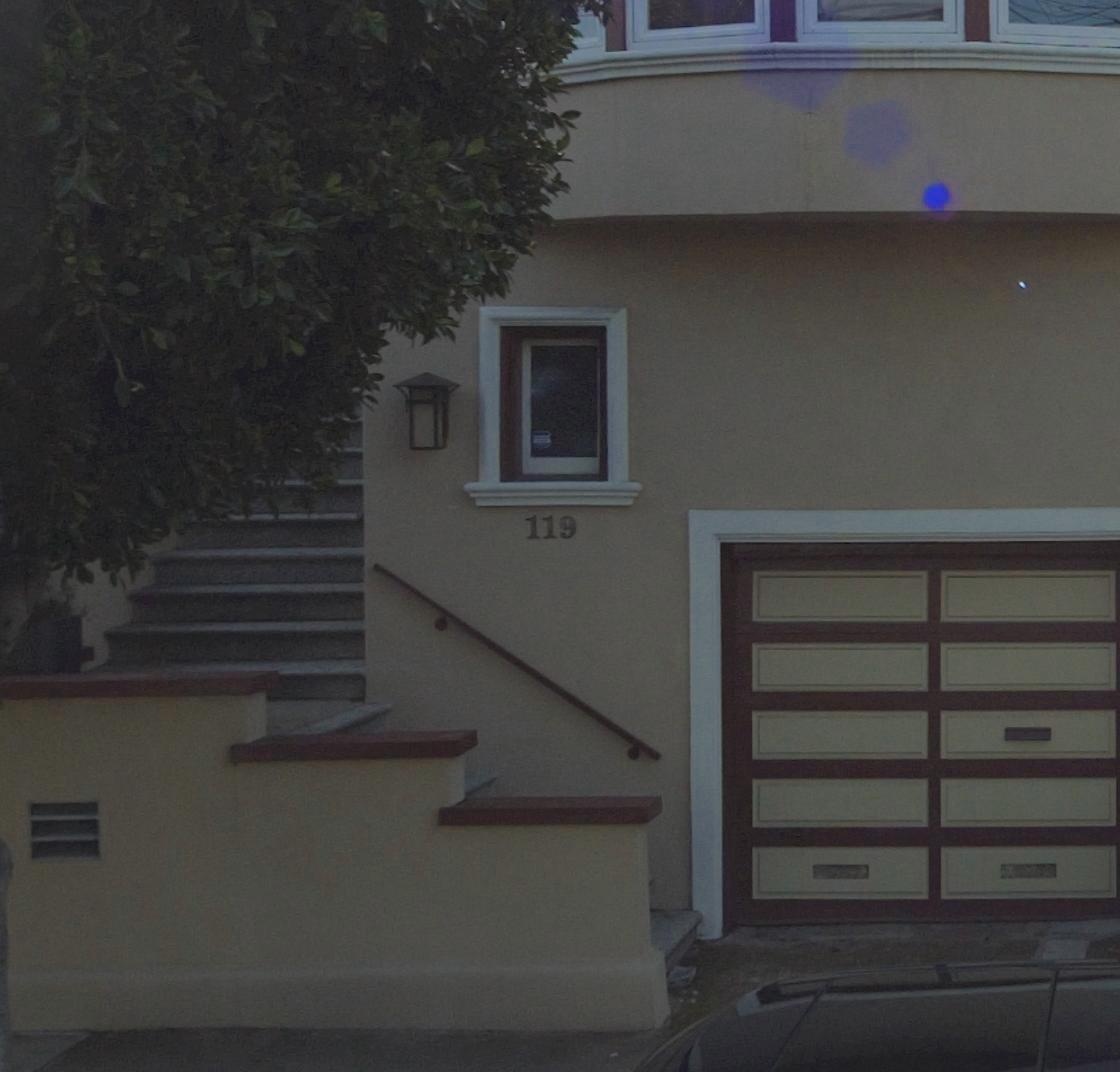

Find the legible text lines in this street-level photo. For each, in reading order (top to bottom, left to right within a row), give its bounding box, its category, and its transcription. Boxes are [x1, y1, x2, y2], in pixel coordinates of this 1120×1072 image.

[524, 512, 579, 541] StreetNumber: 119